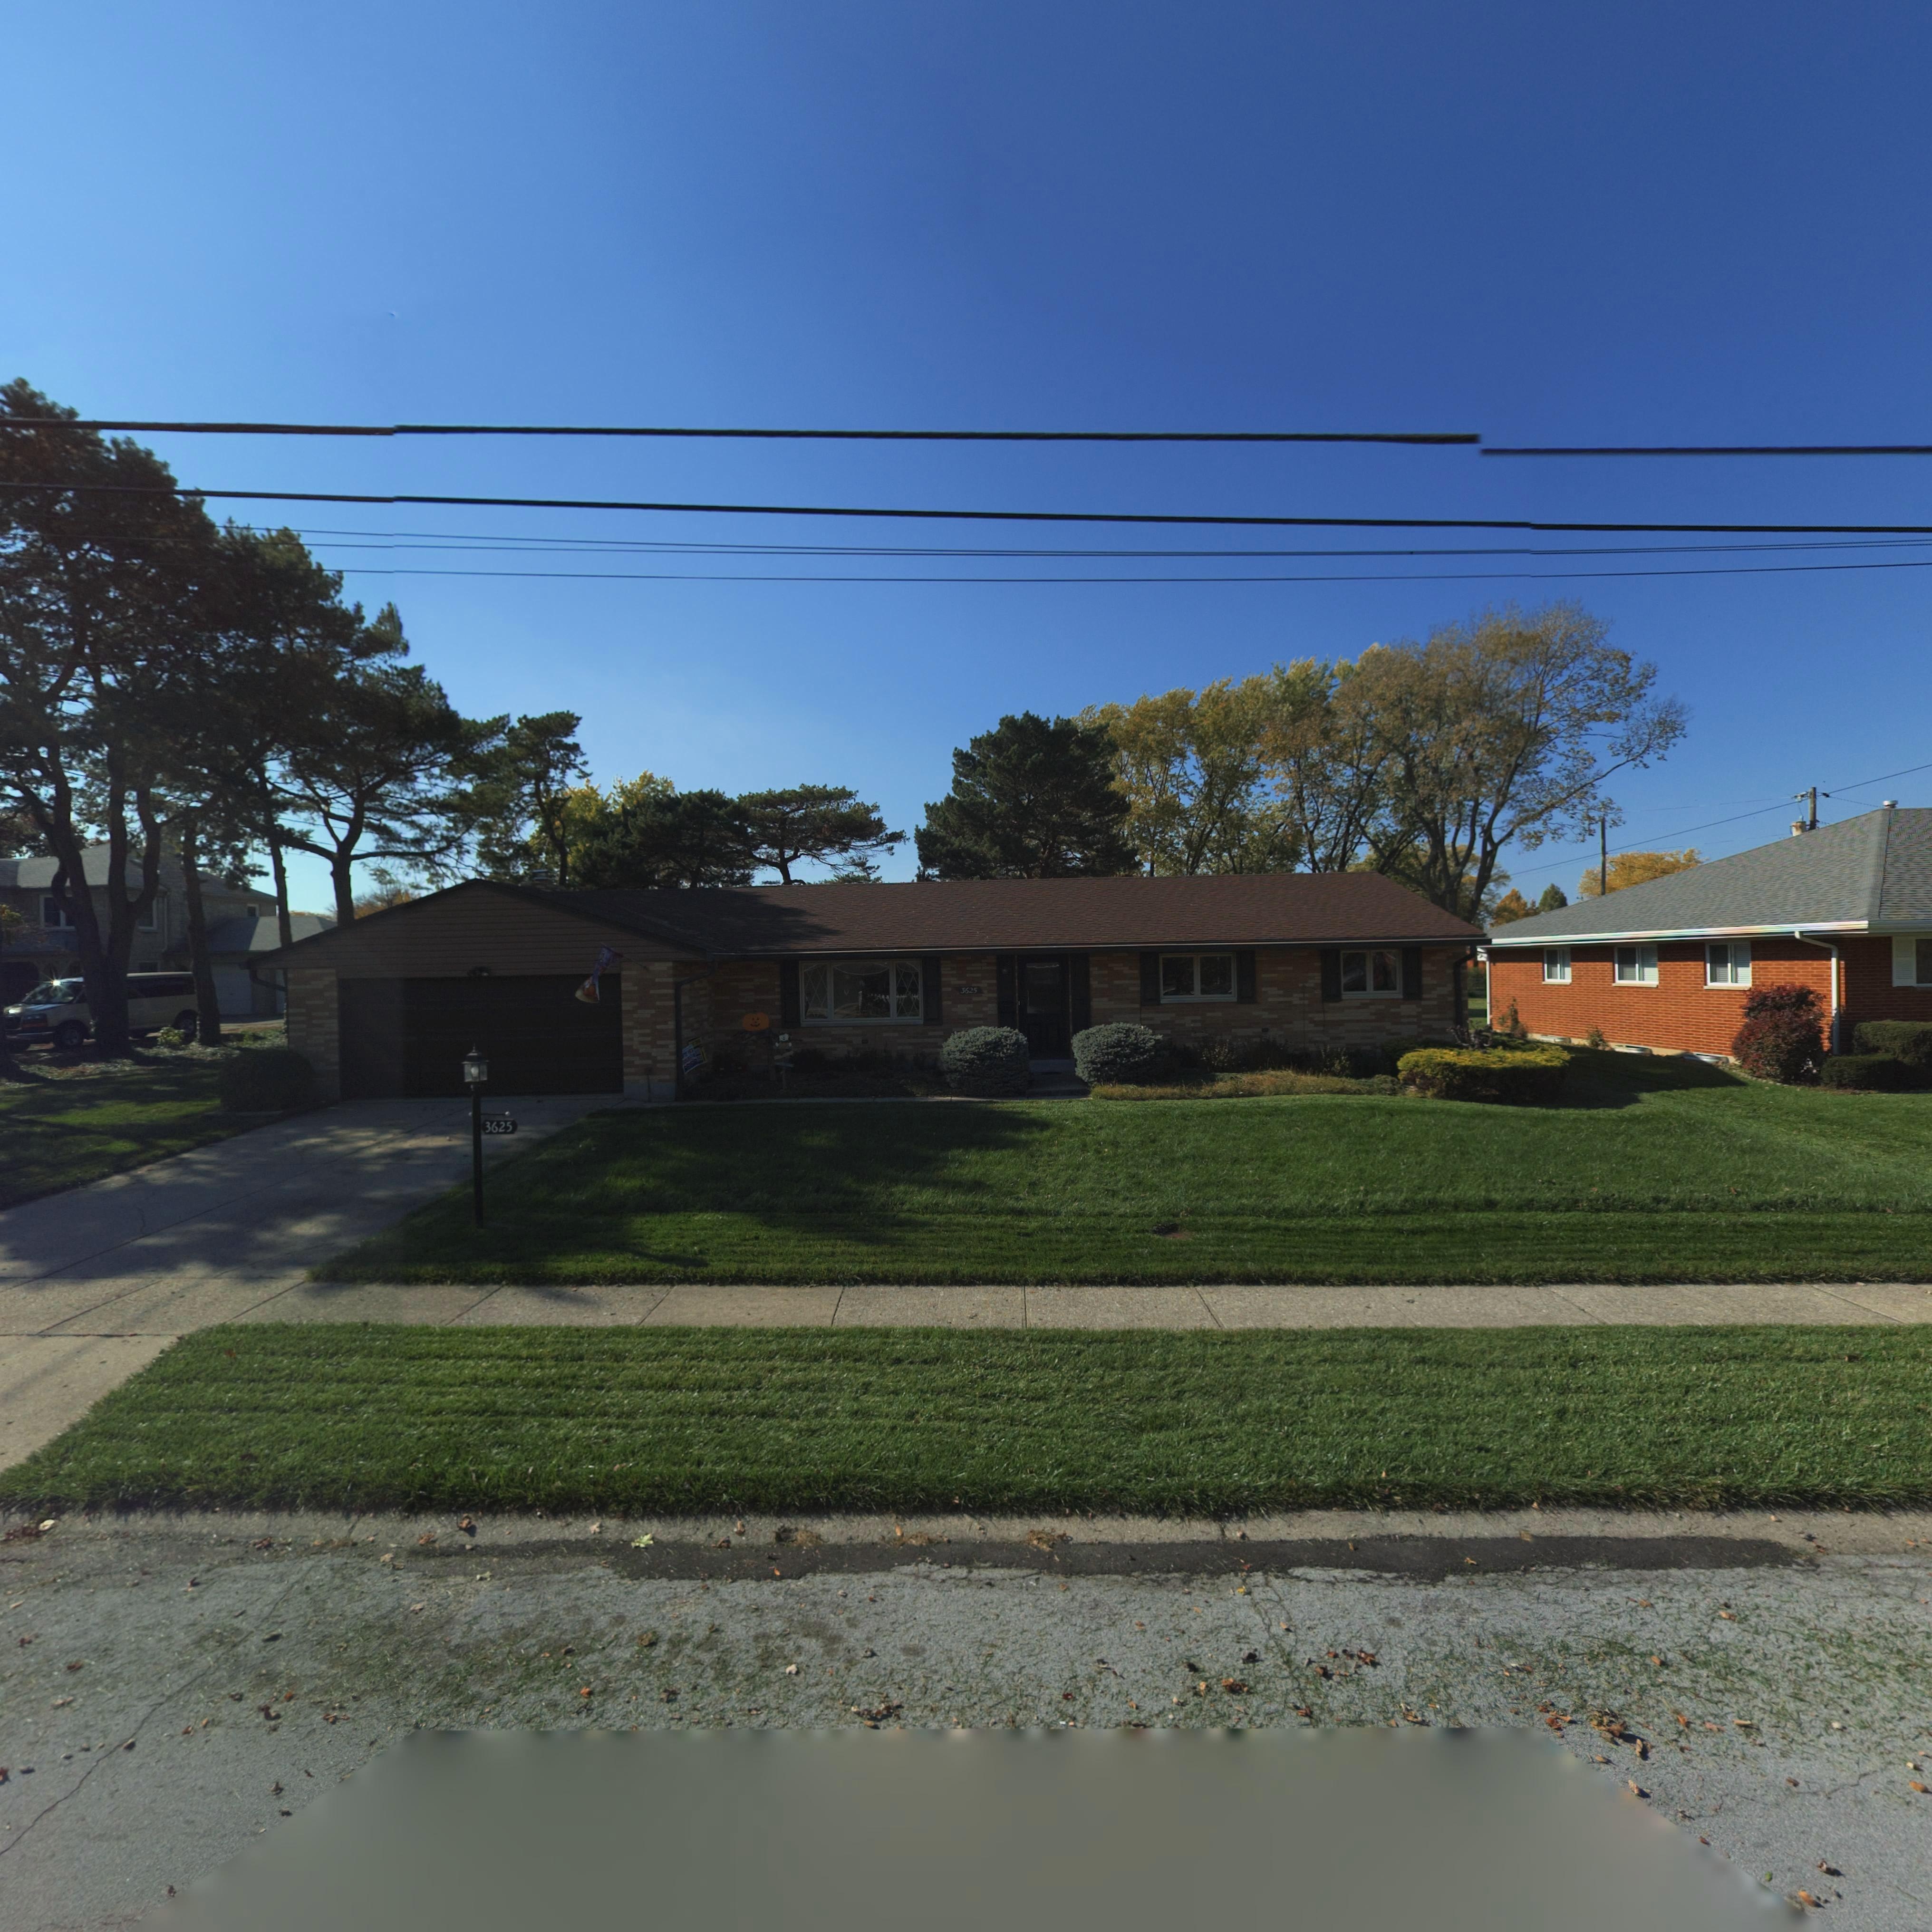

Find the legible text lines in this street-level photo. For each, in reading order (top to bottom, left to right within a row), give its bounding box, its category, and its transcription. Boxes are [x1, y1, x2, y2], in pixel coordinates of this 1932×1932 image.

[960, 986, 977, 994] StreetNumber: 3625
[484, 1121, 512, 1133] StreetNumber: 3625